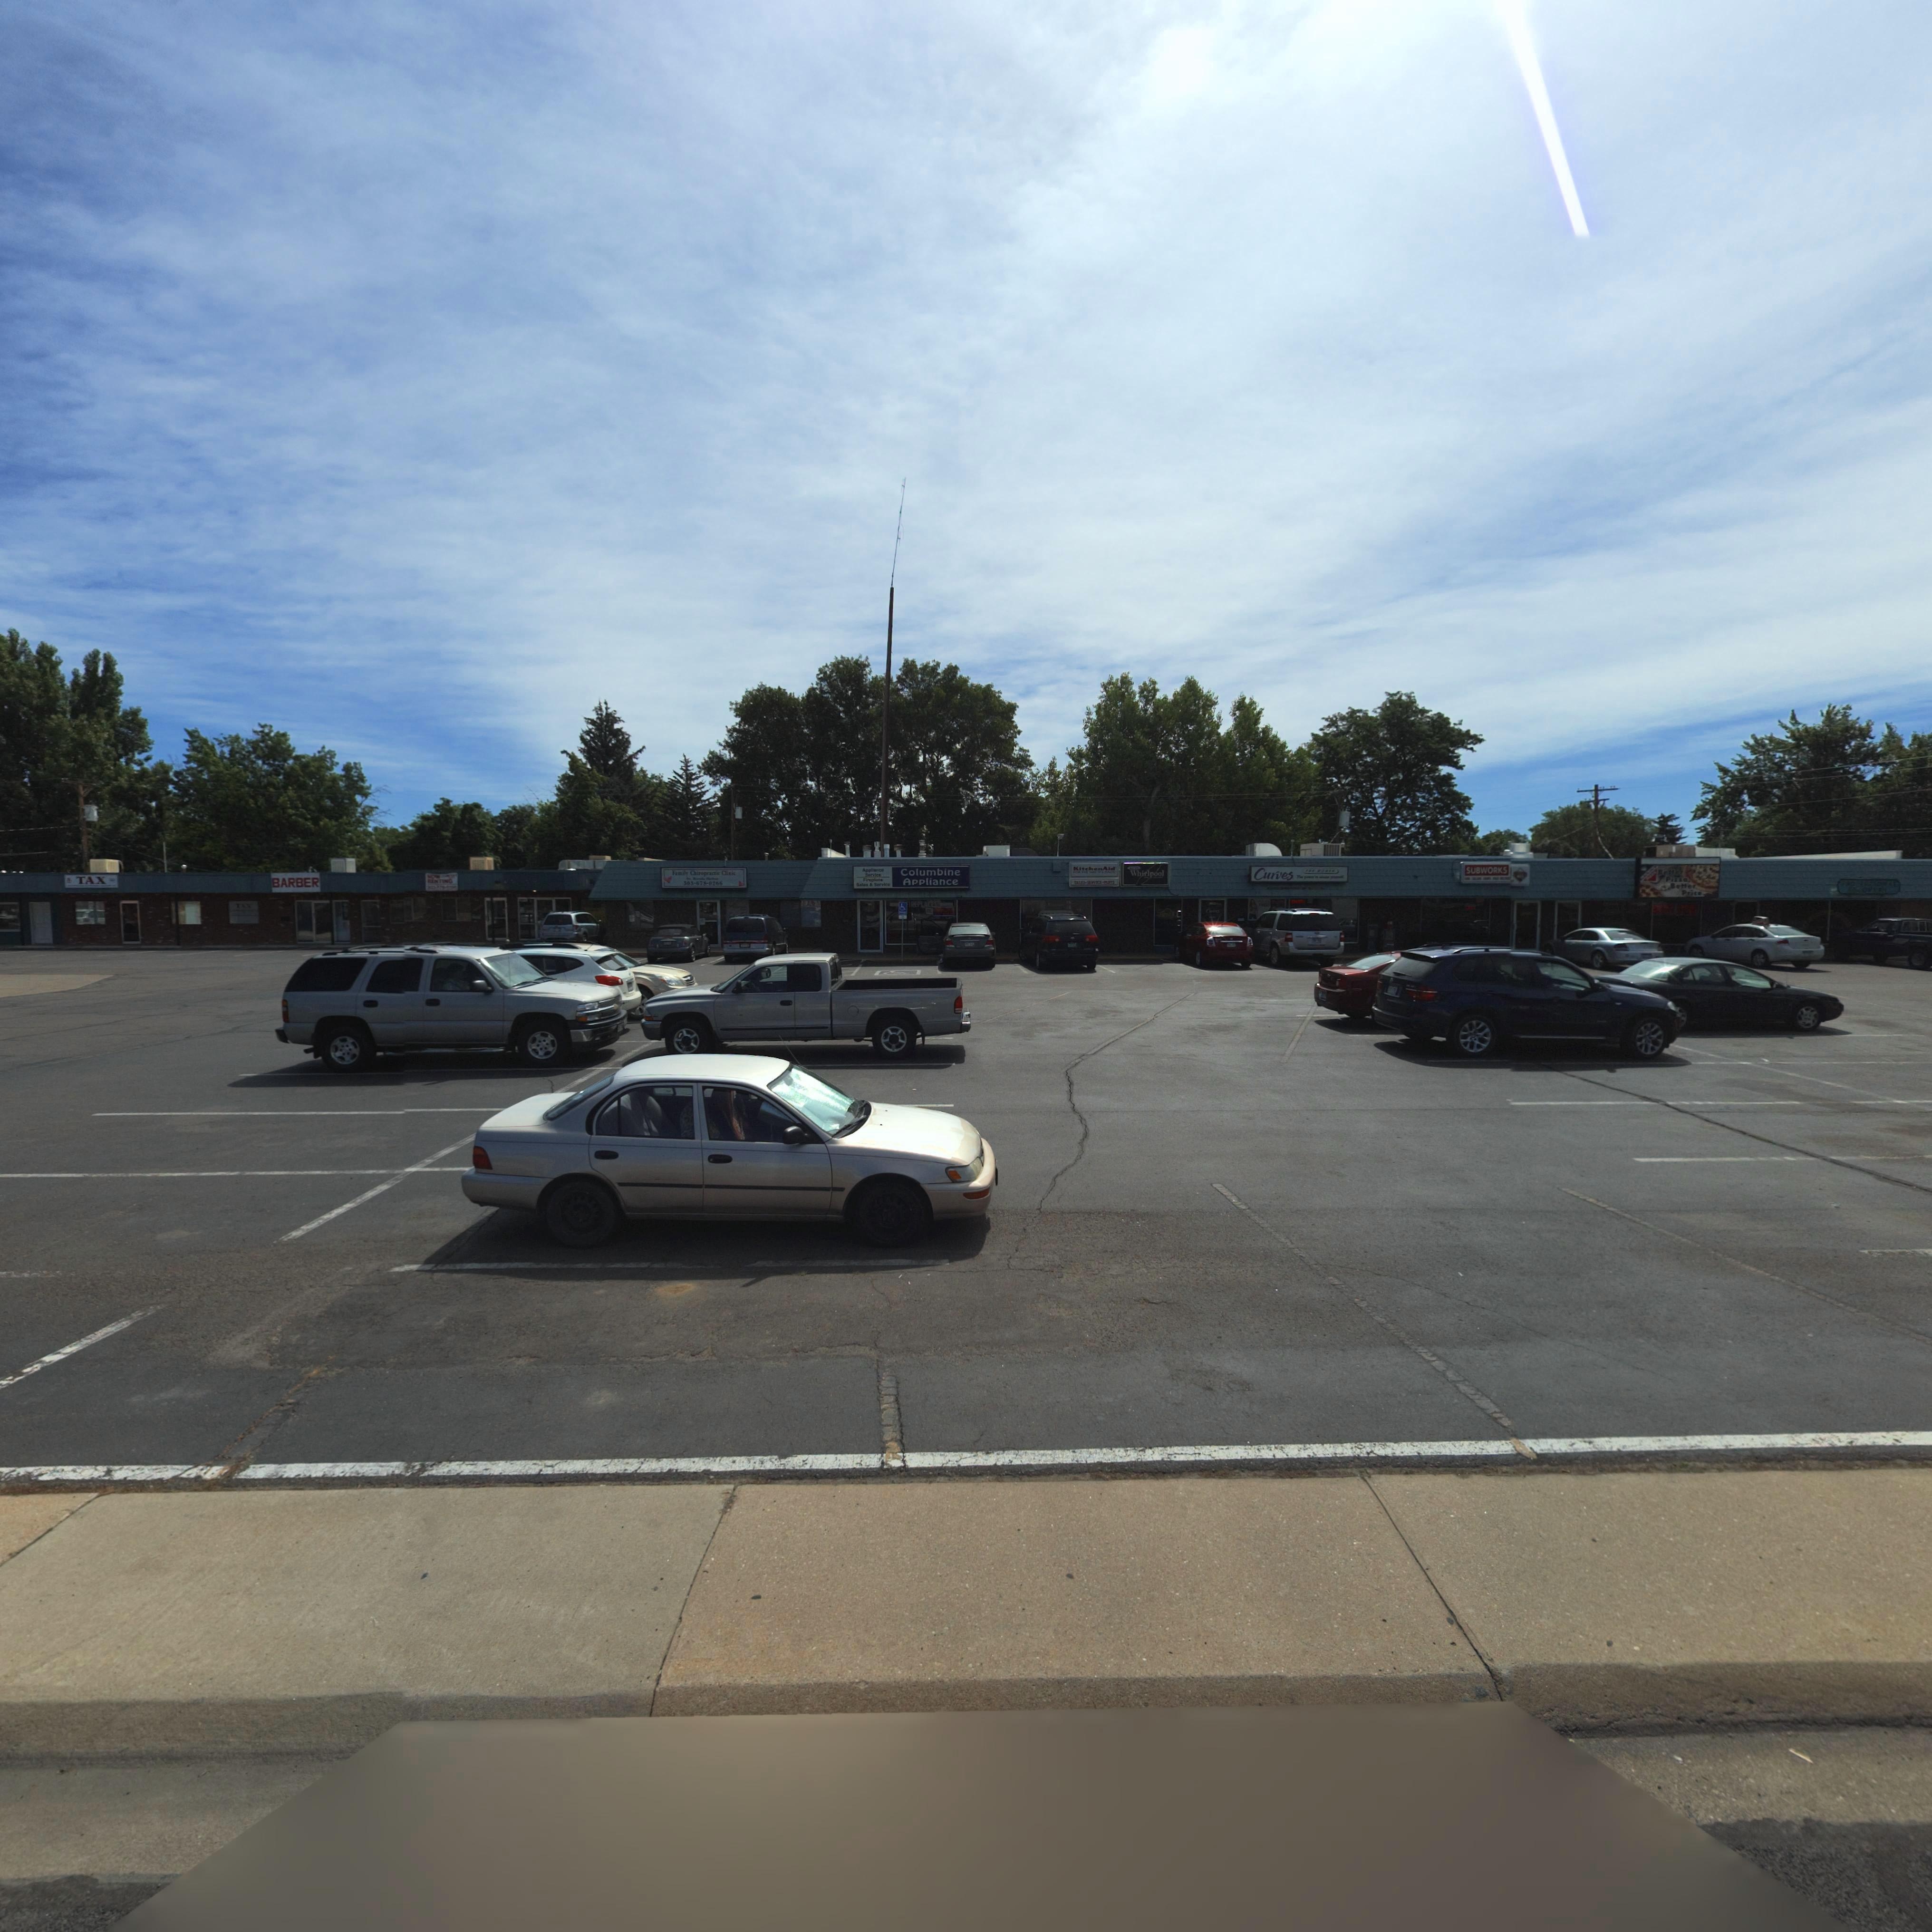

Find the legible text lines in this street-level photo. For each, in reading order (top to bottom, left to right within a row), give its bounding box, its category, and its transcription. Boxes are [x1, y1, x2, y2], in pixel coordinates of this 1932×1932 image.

[672, 870, 736, 877] BusinessName: Family Chiropractic Clinic
[900, 868, 961, 876] BusinessName: Columbine
[1253, 867, 1294, 881] BusinessName: Curves
[1465, 866, 1507, 874] BusinessName: SUBWORKS
[902, 877, 958, 886] BusinessName: Appliance